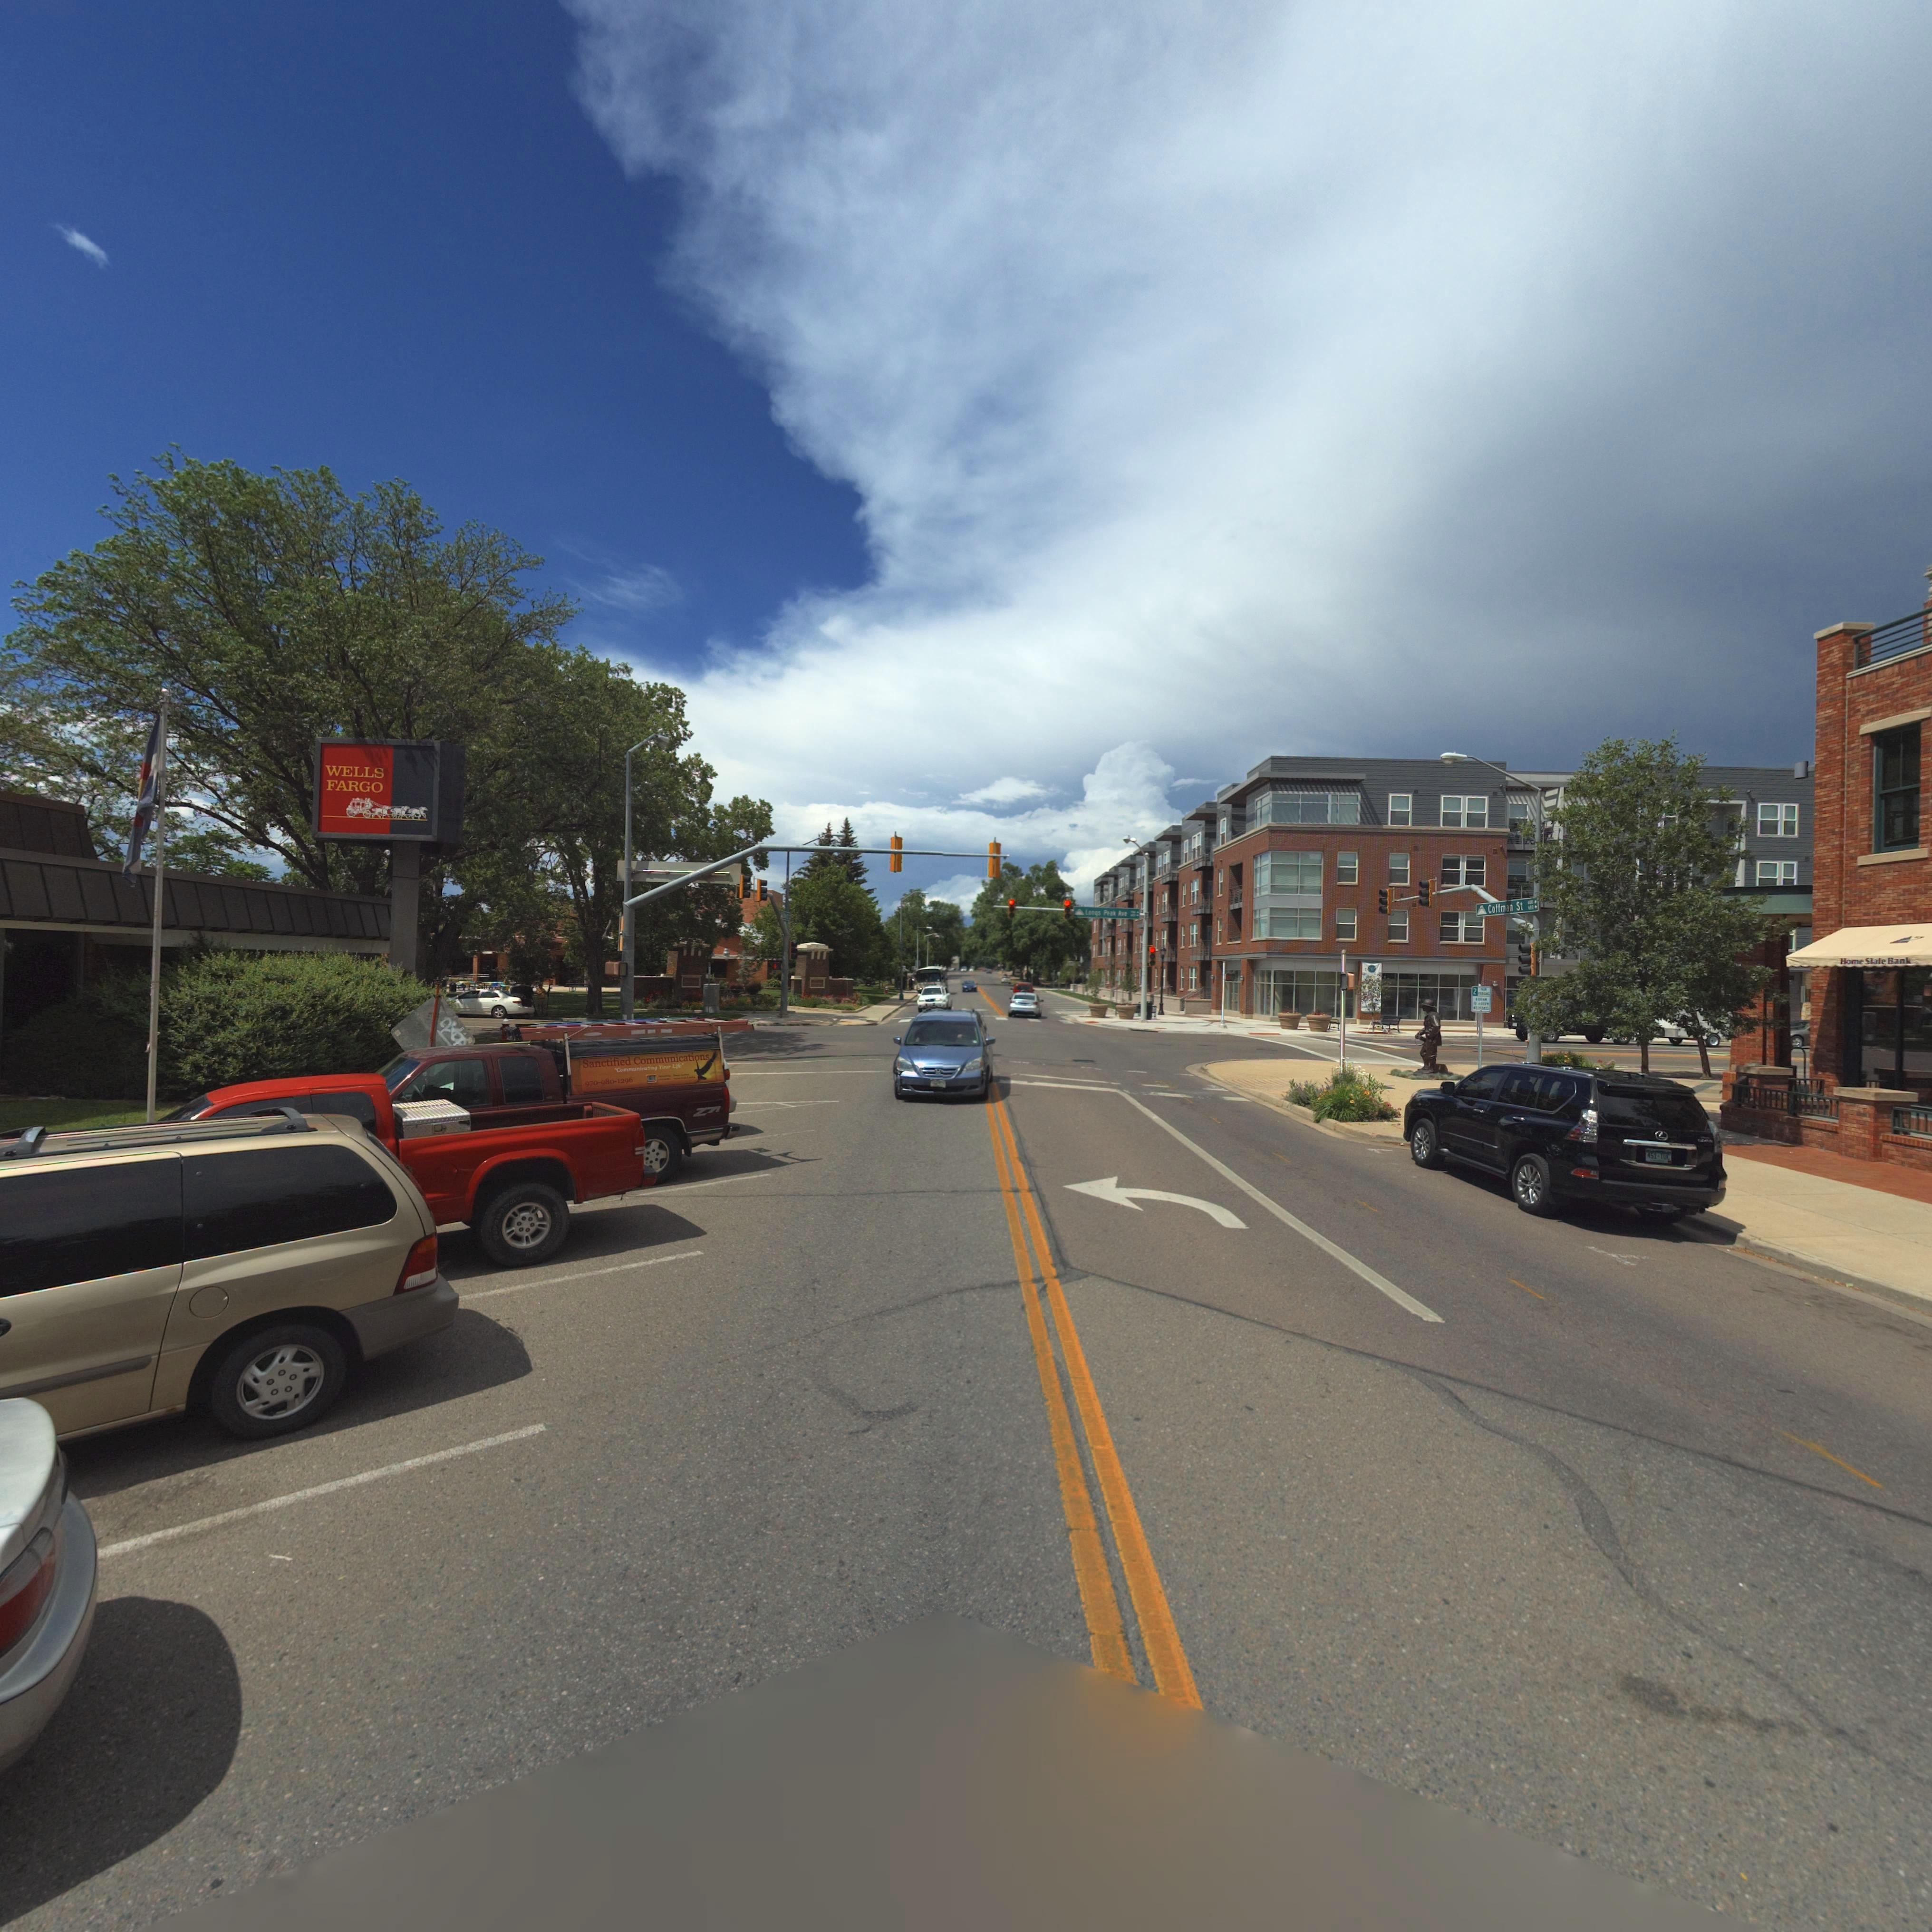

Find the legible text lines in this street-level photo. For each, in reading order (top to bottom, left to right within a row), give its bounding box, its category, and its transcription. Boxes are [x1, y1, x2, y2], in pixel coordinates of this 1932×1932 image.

[324, 764, 385, 779] BusinessName: WELLS
[326, 779, 383, 793] BusinessName: FARGO
[1527, 899, 1534, 904] StreetNumberRange: *00
[1487, 900, 1524, 914] StreetName: Coffman St
[1527, 904, 1537, 910] StreetNumberRange: *00->
[1085, 909, 1128, 917] StreetName: Longs Peak Ave
[1840, 956, 1911, 965] BusinessName: Home State Bank